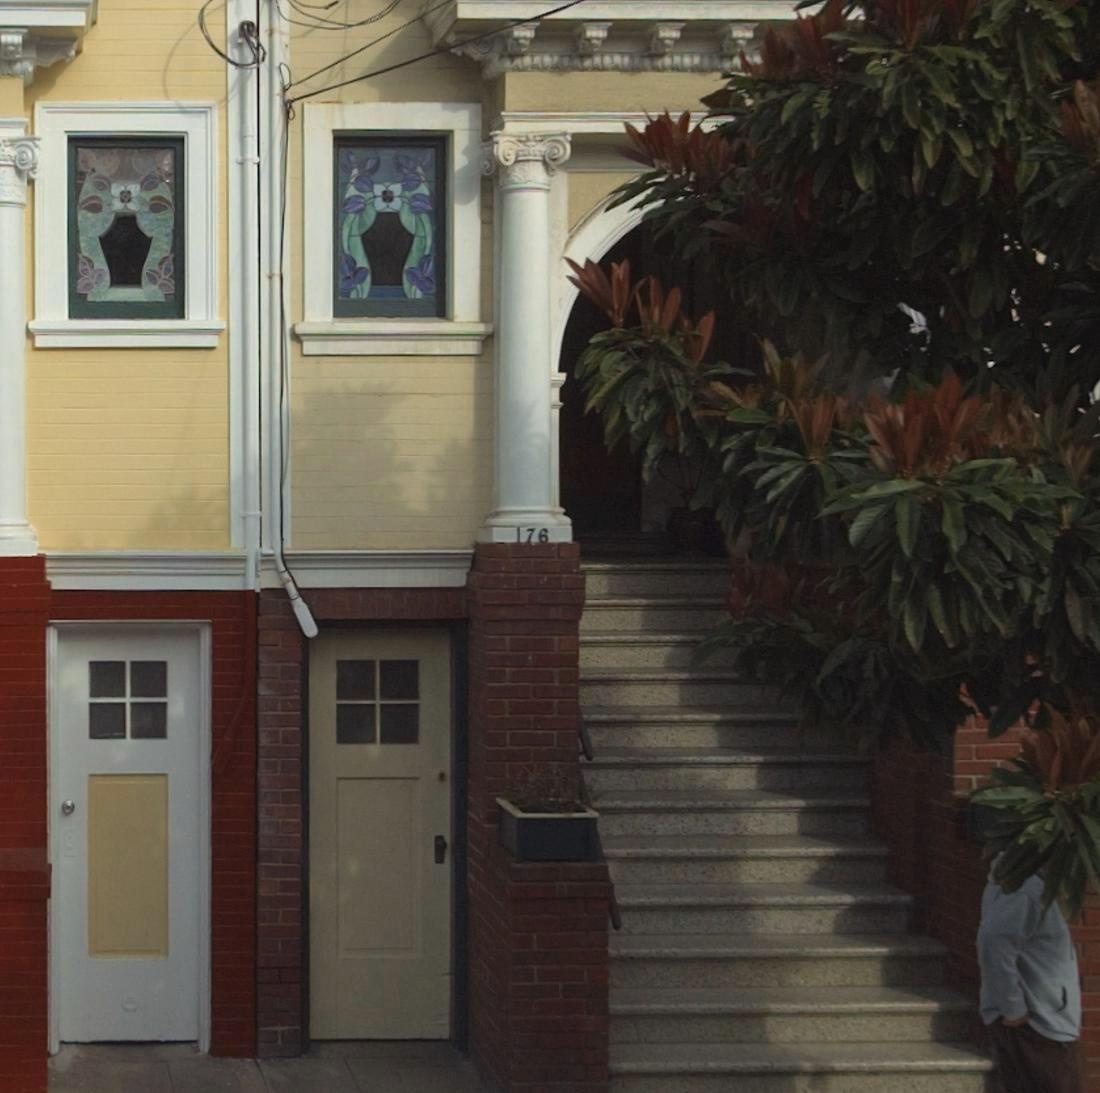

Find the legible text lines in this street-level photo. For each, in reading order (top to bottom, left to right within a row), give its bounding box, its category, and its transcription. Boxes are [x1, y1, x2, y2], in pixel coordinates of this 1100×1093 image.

[514, 526, 551, 545] StreetNumber: 176